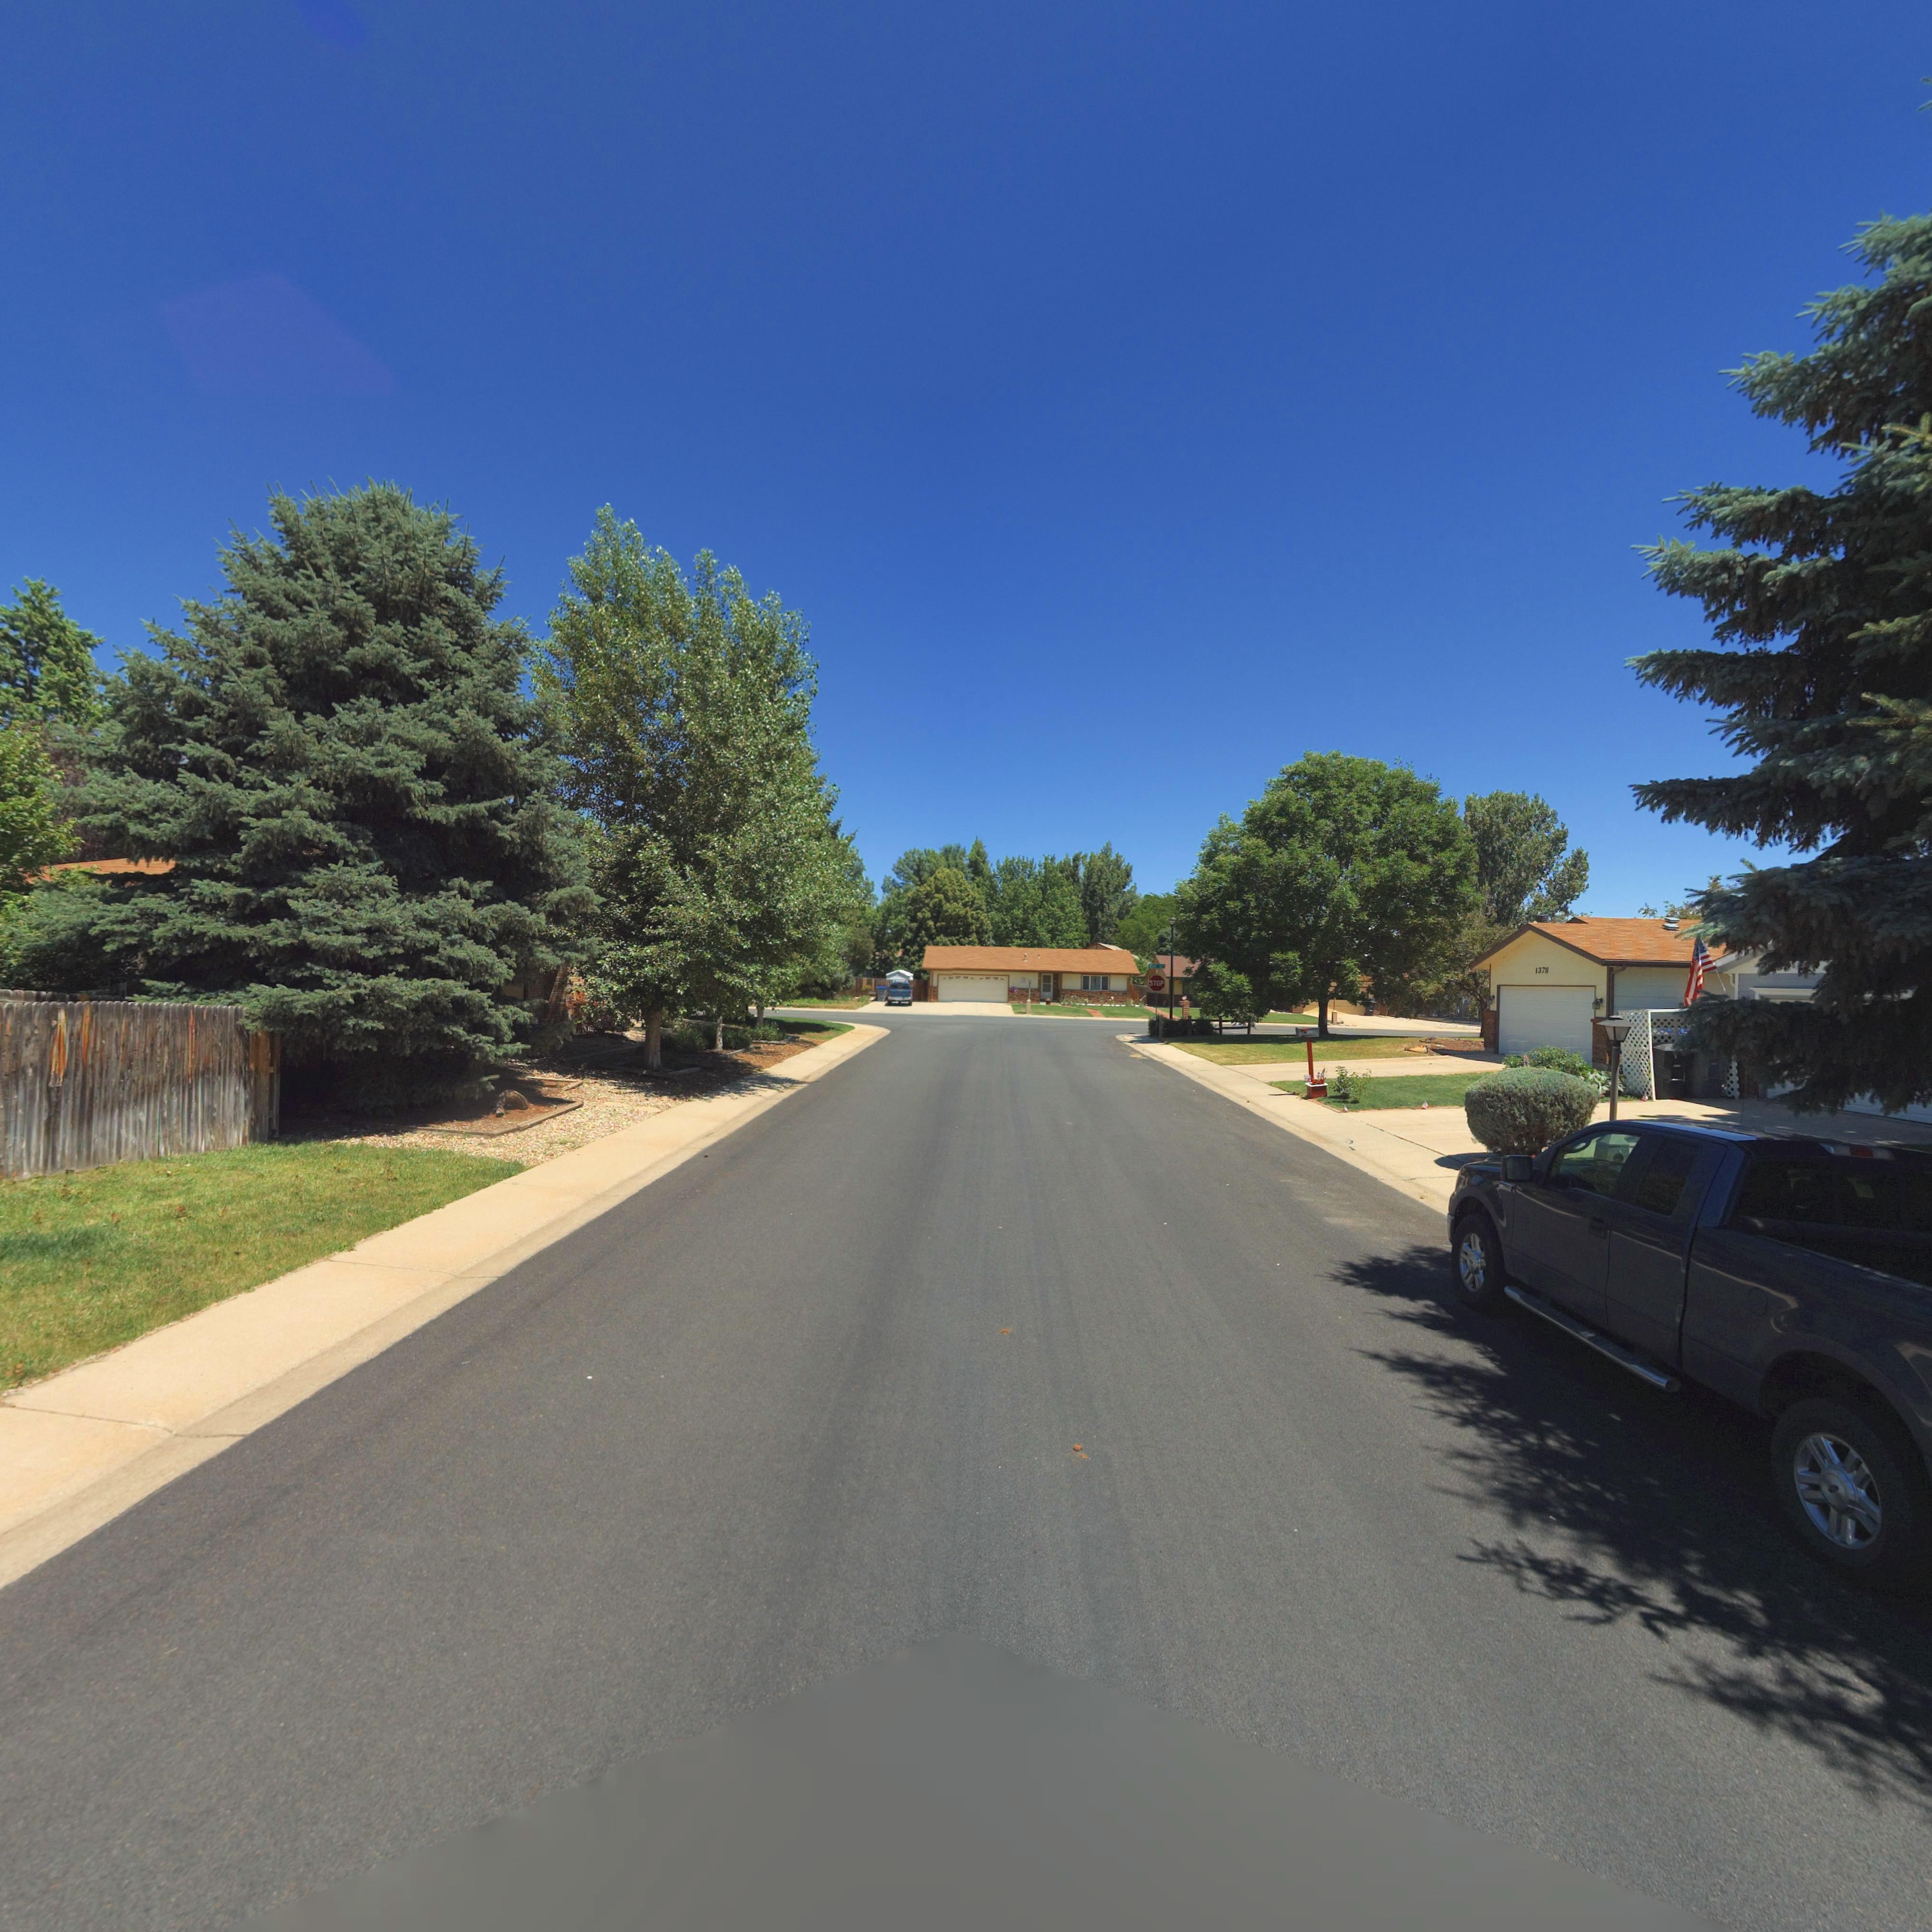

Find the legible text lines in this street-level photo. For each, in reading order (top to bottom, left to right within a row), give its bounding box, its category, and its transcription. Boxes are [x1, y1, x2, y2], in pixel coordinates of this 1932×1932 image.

[1149, 964, 1164, 968] StreetName: GAY ST
[1535, 966, 1548, 974] StreetNumber: 1378